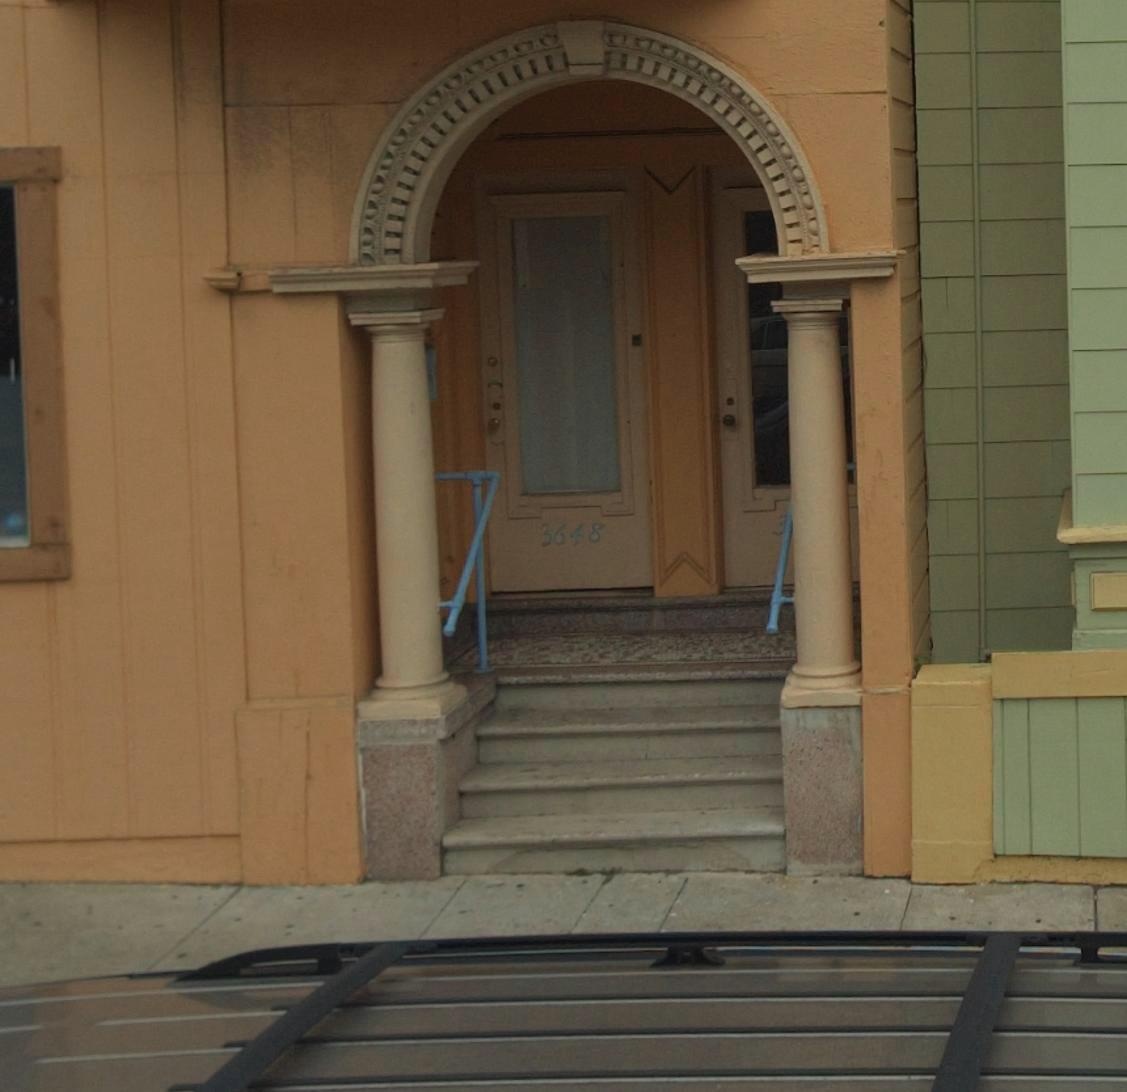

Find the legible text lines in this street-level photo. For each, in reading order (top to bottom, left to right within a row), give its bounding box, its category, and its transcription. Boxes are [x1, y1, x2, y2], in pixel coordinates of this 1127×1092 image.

[539, 522, 607, 548] StreetNumber: 3648